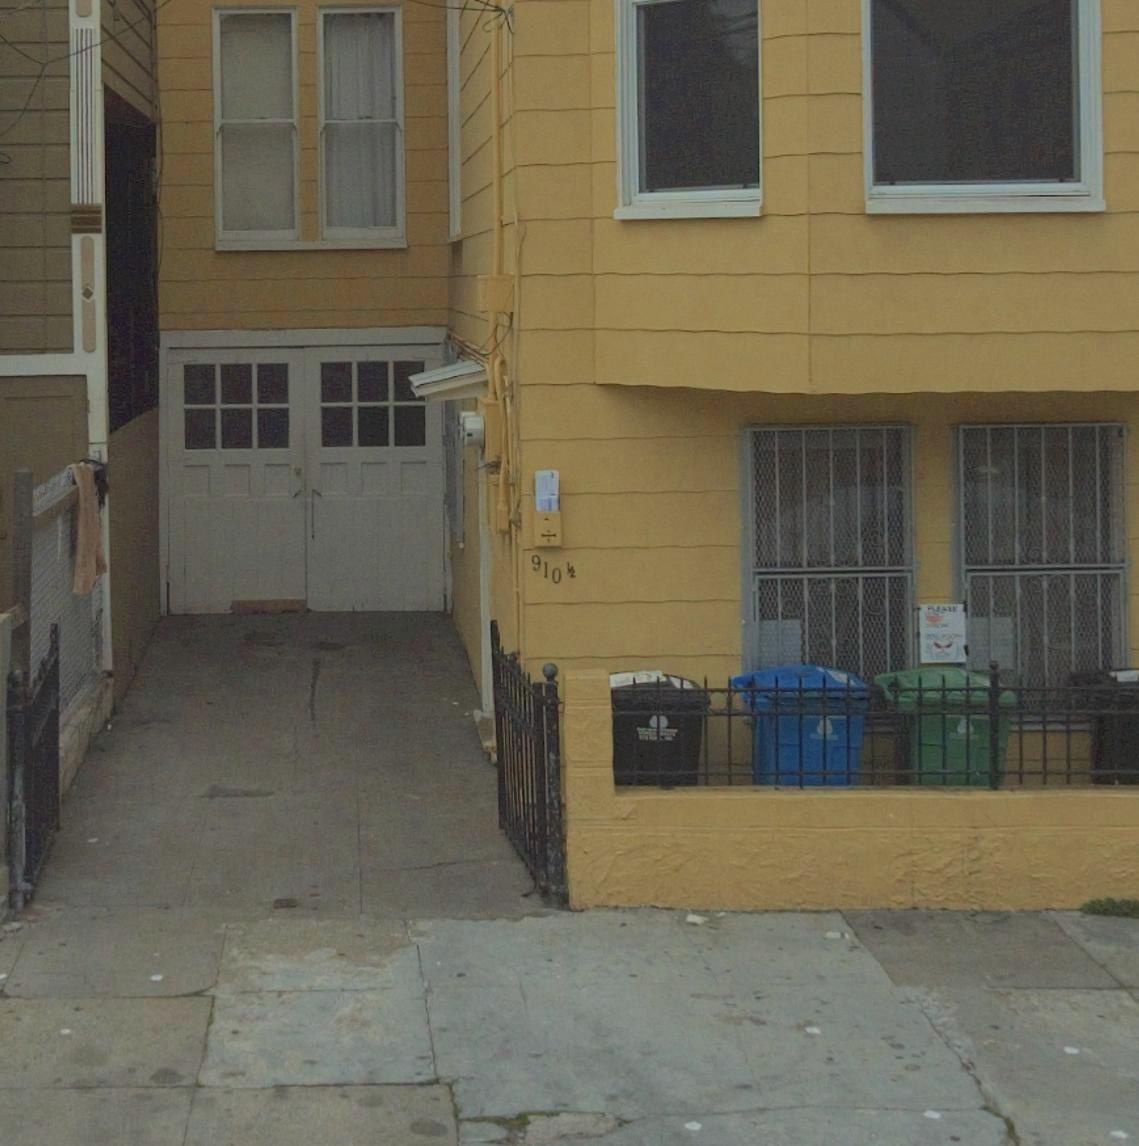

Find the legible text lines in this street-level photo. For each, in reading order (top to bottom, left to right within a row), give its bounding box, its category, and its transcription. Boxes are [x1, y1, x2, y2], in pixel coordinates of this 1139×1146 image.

[530, 552, 577, 586] StreetNumber: 910 1/2